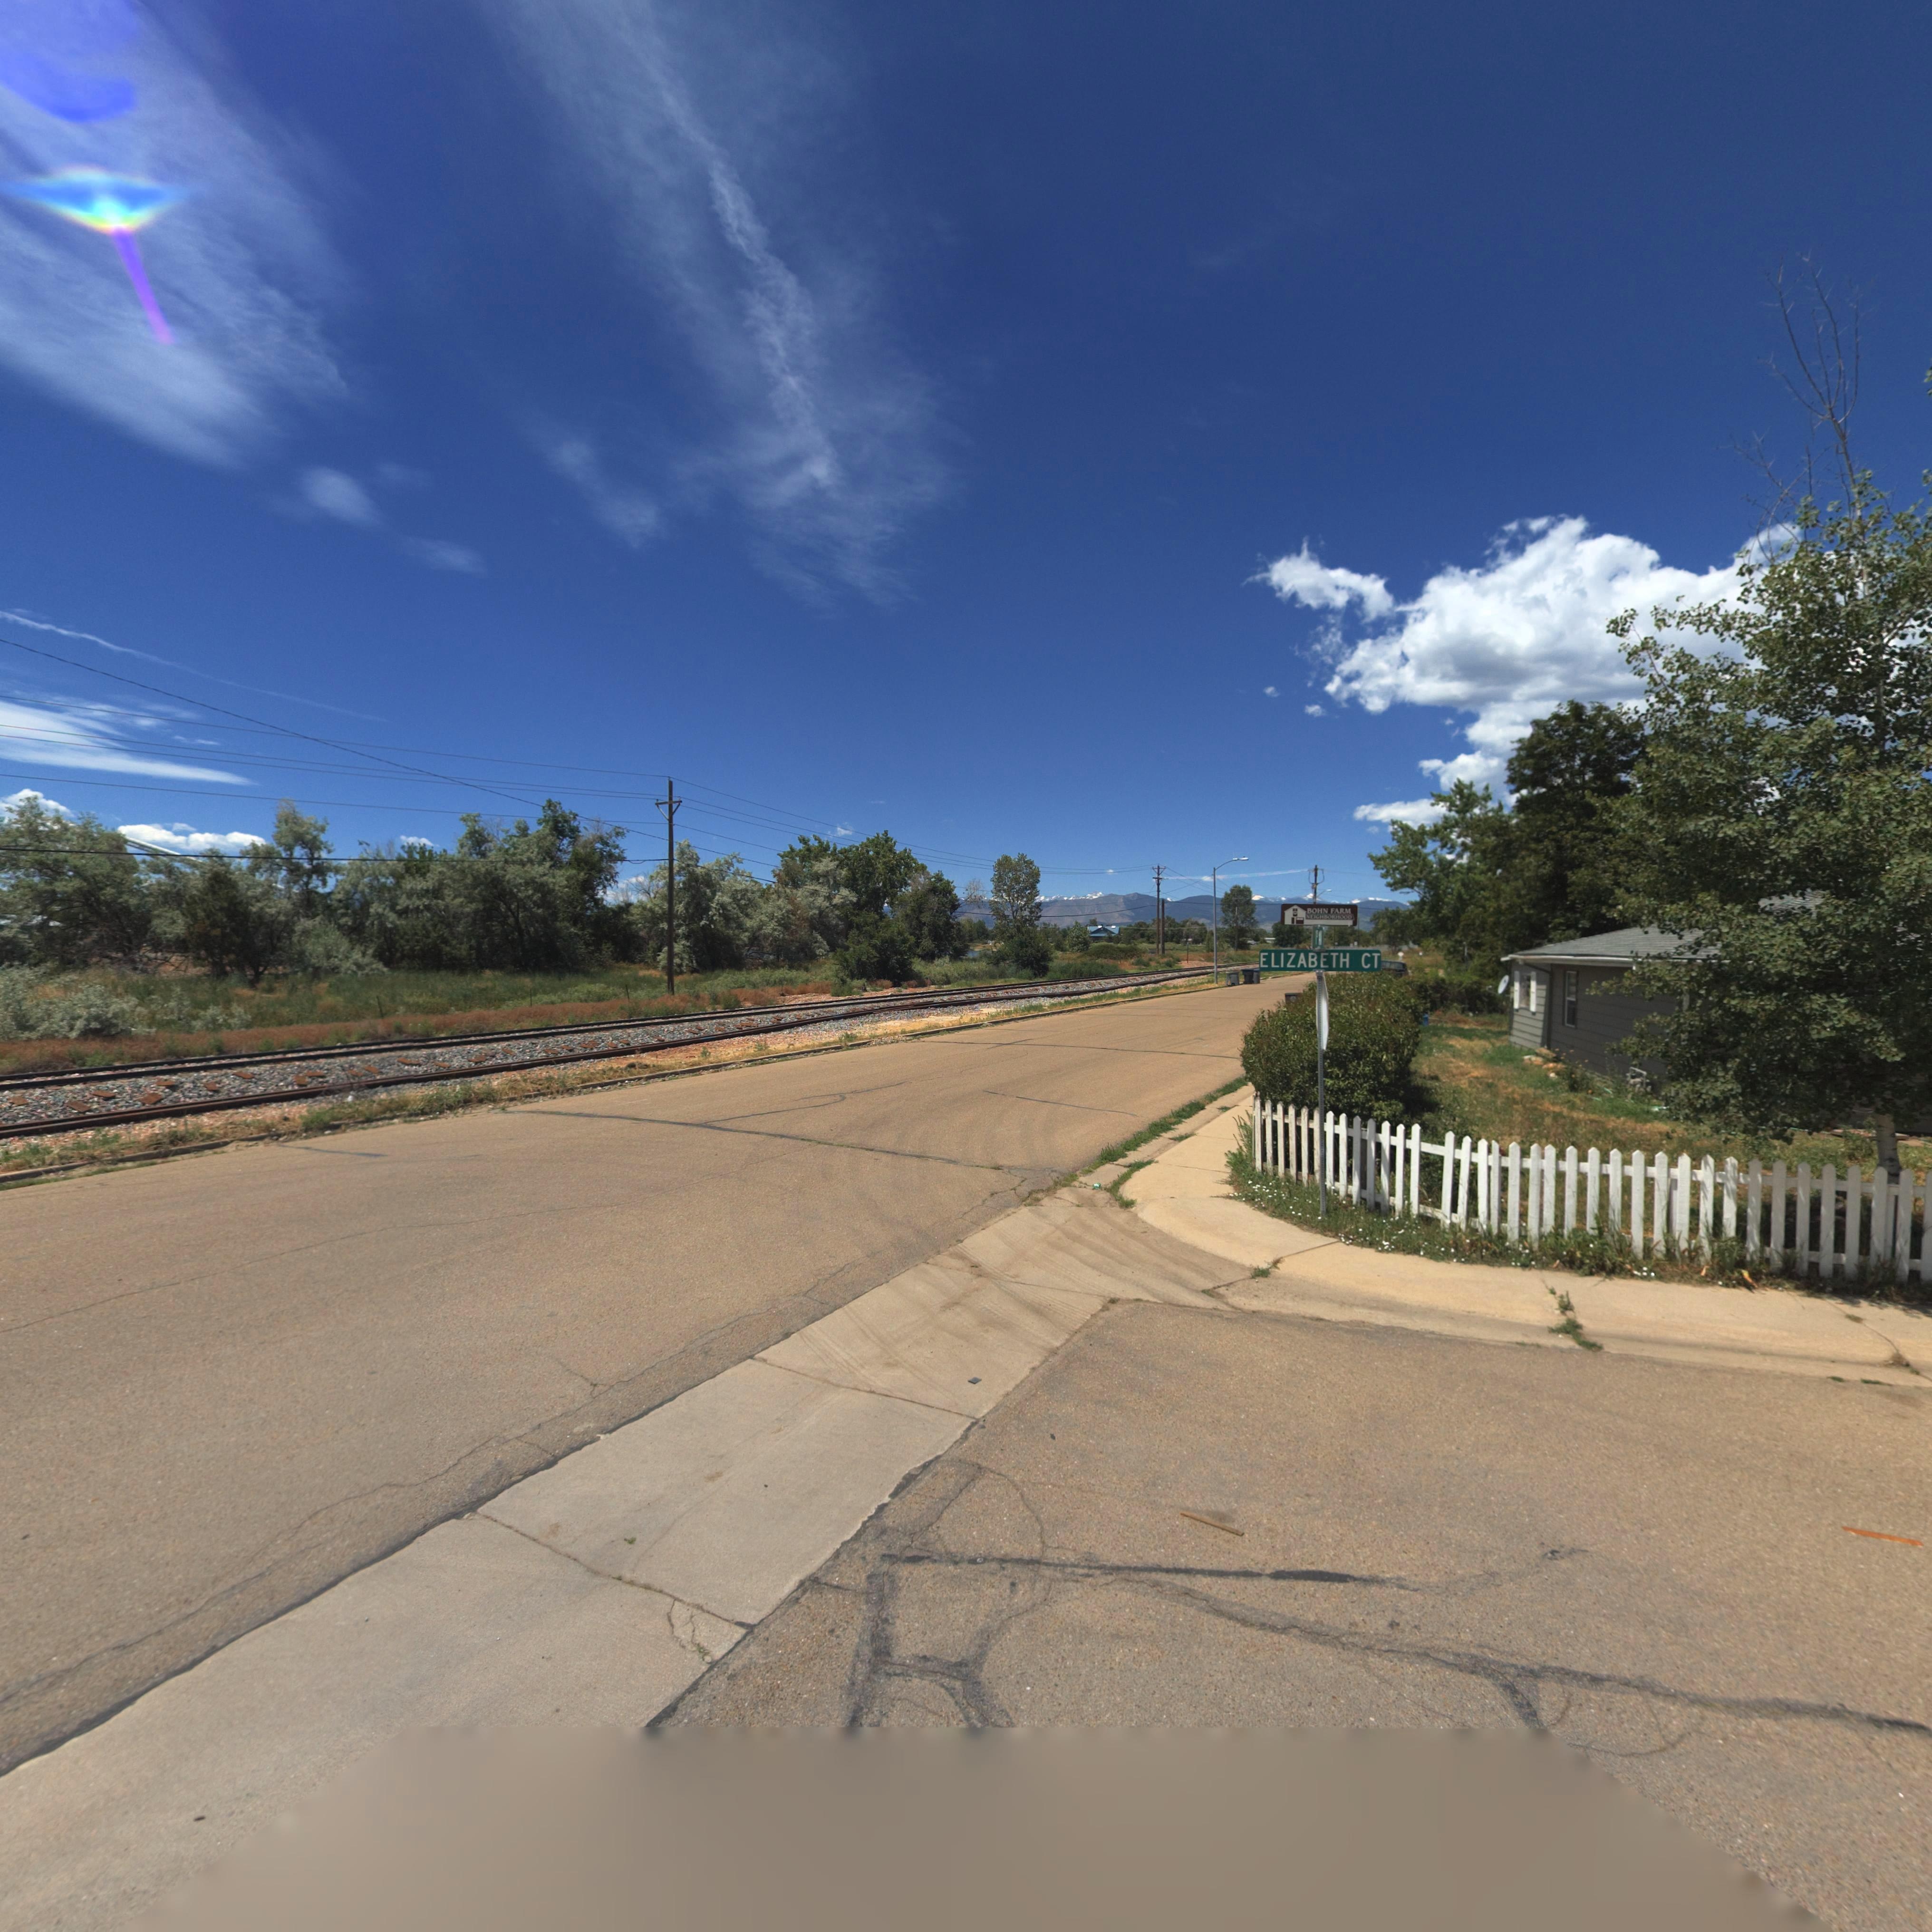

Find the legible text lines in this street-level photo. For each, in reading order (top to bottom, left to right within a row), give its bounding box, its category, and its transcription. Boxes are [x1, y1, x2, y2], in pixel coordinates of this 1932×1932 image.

[1314, 929, 1322, 947] StreetName: 1ST AV
[1259, 952, 1381, 969] StreetName: ELIZABETH CT